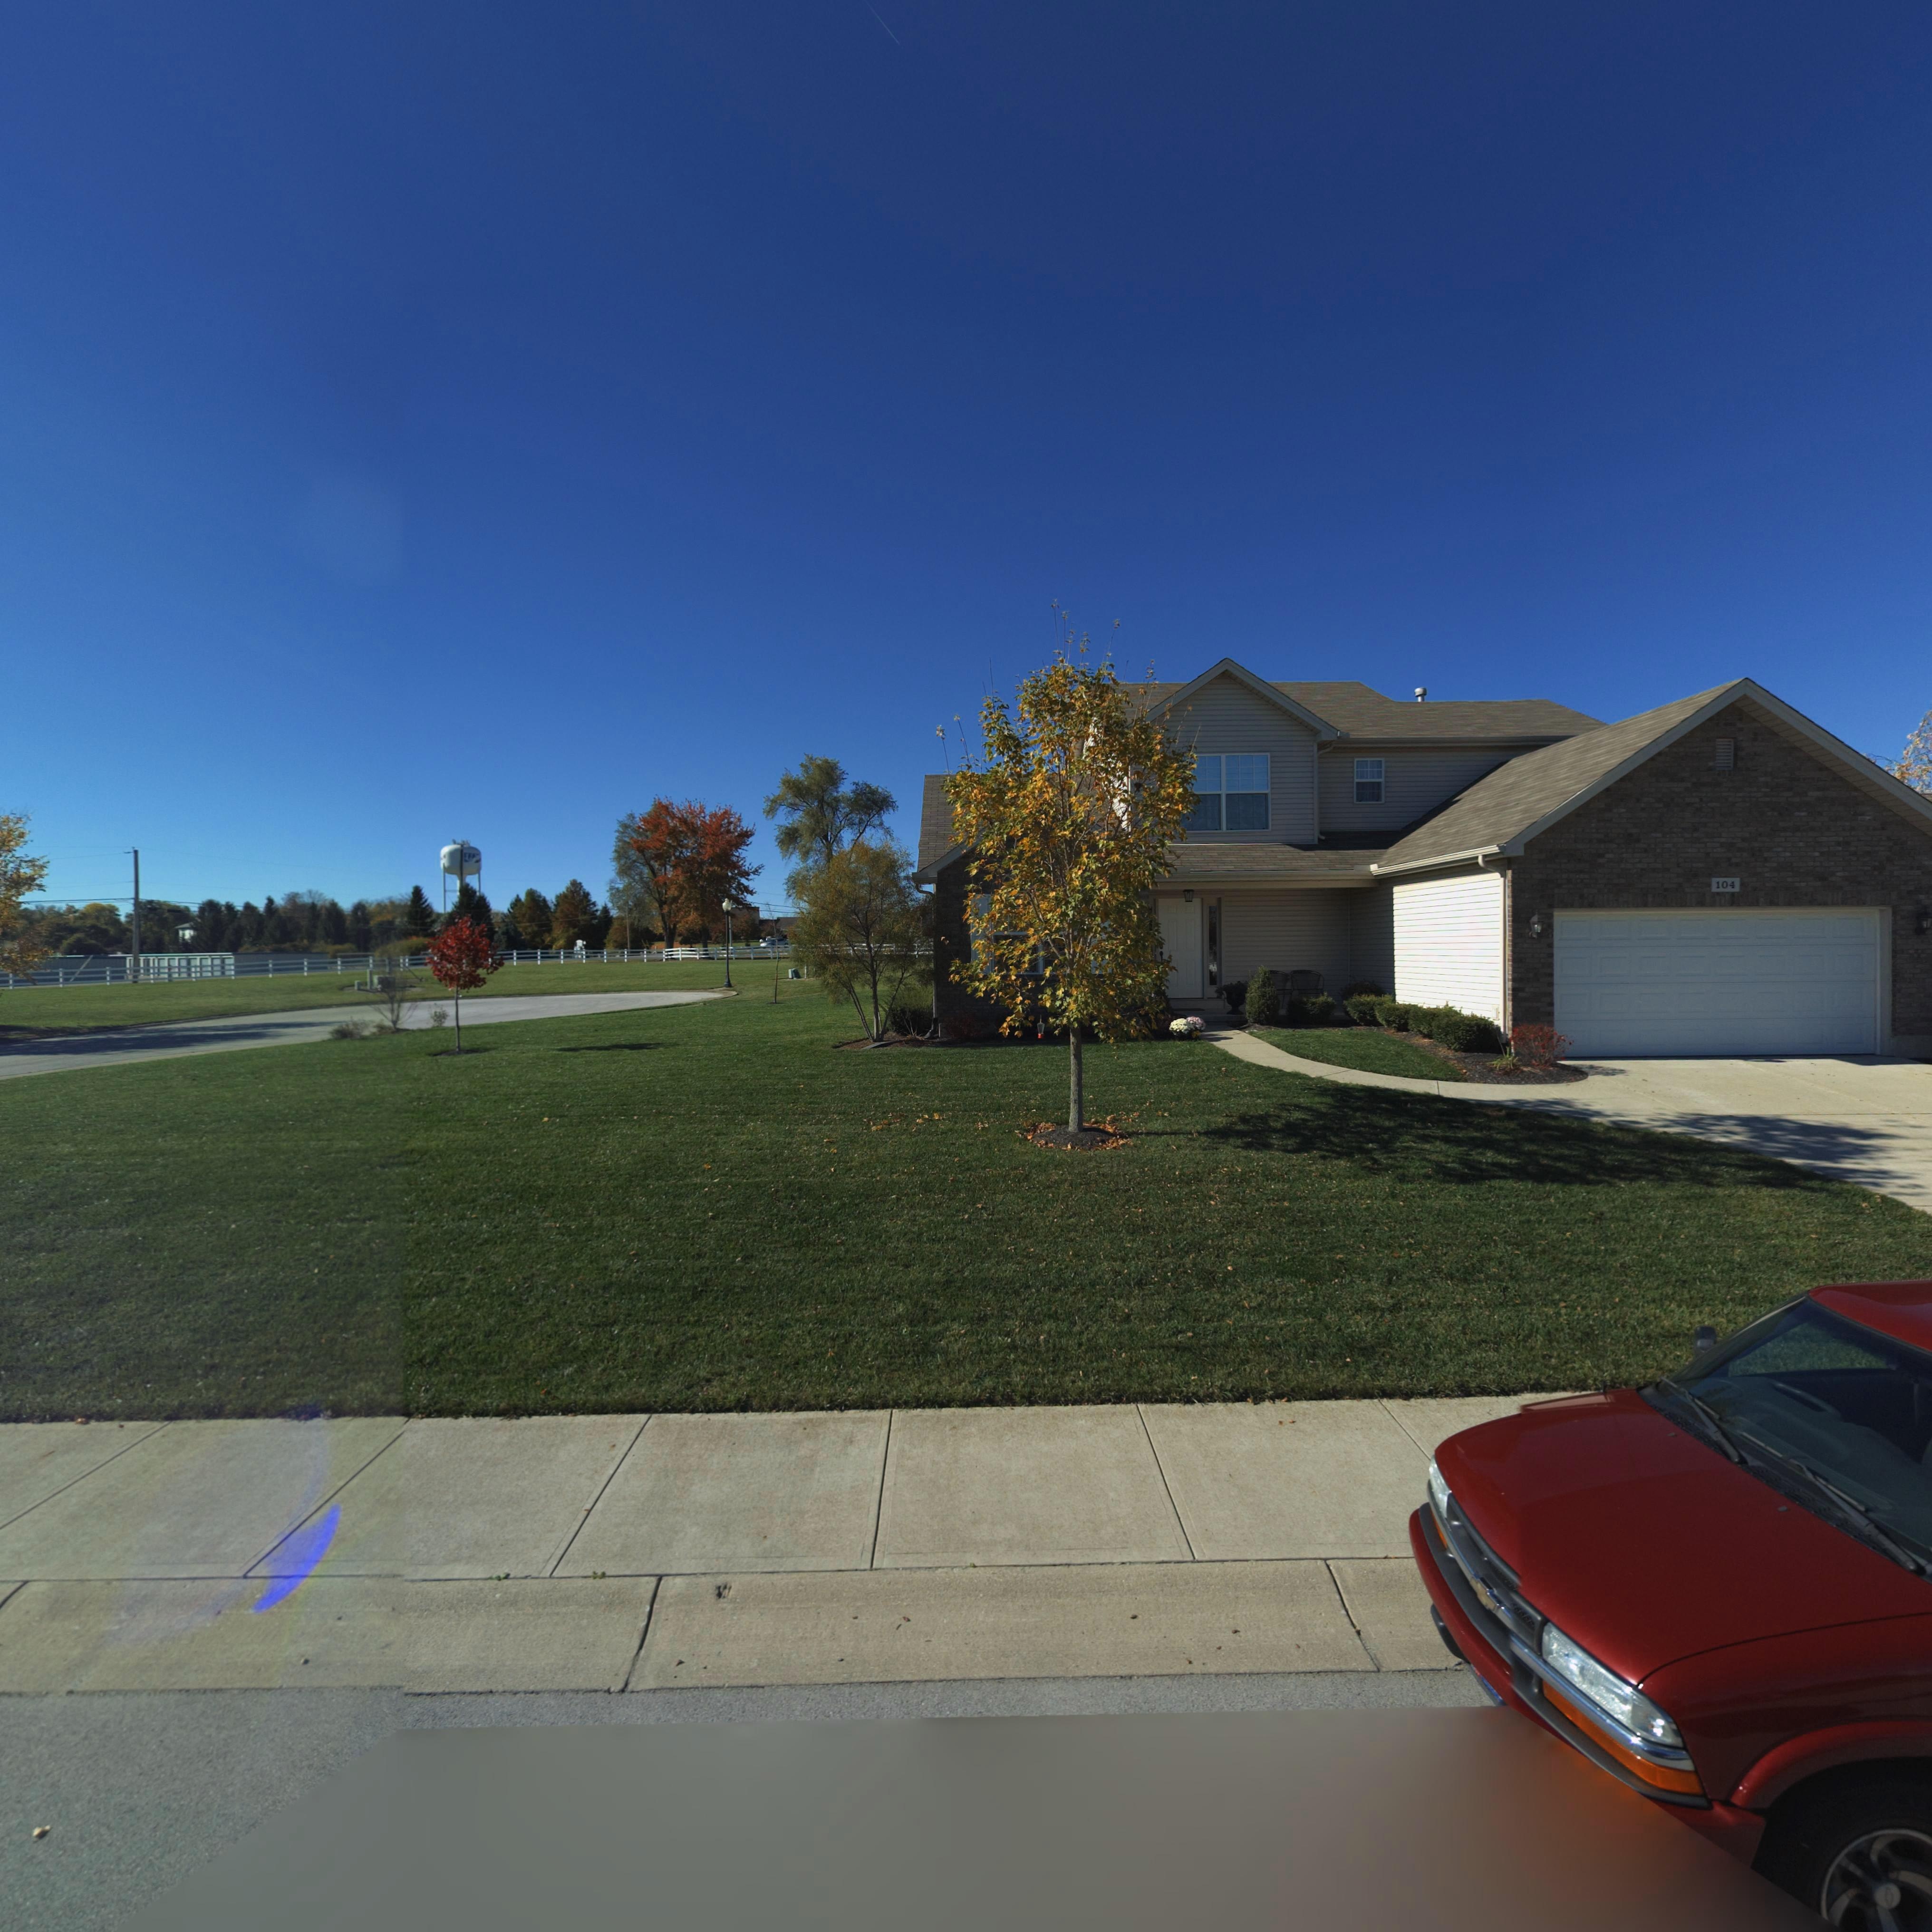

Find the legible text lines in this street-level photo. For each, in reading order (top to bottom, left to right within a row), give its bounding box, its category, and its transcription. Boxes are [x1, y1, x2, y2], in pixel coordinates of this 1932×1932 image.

[1715, 879, 1737, 890] StreetNumber: 104